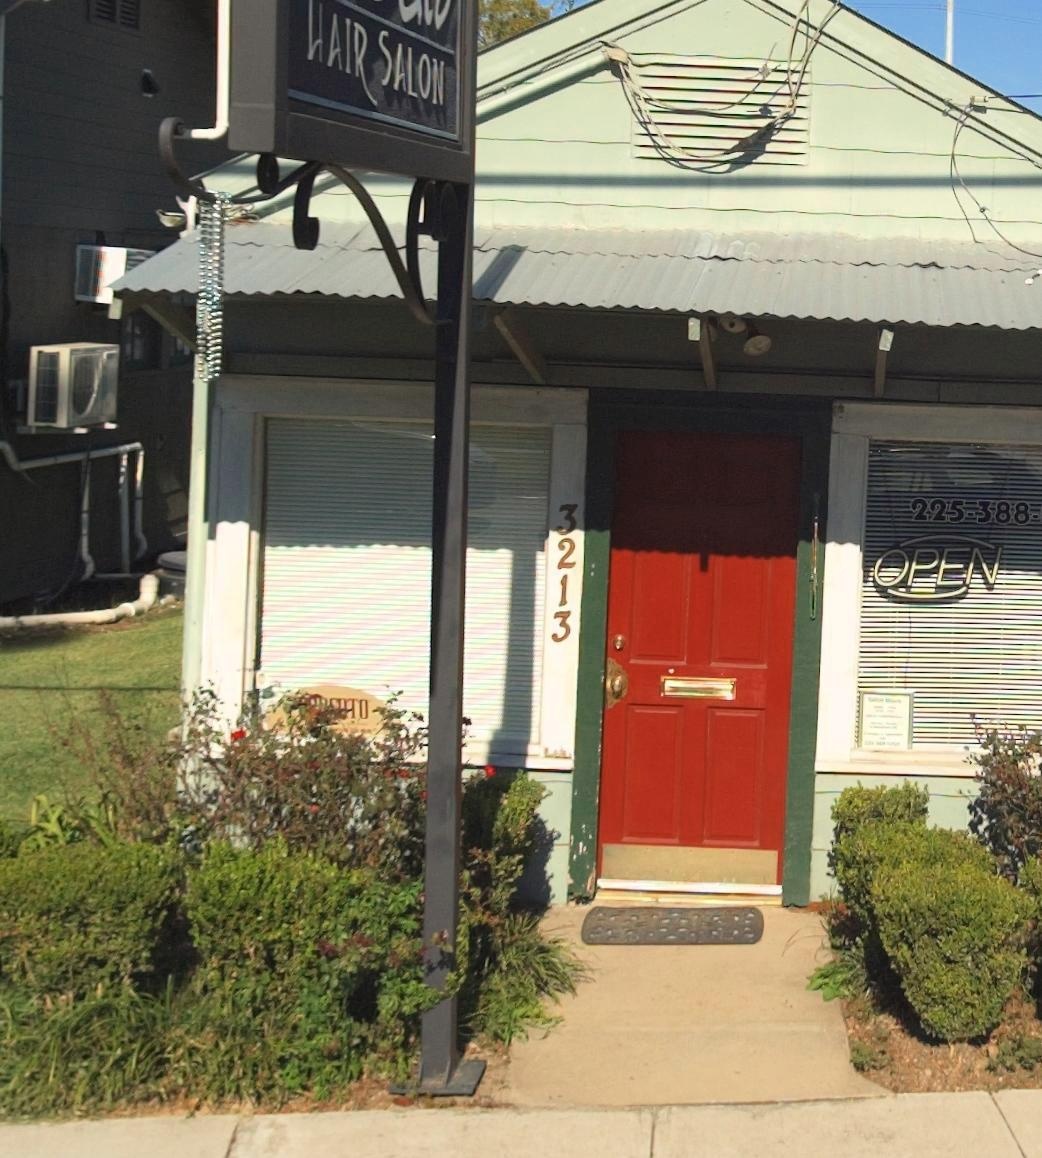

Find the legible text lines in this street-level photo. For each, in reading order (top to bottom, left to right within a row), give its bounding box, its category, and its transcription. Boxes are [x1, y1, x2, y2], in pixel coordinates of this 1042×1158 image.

[305, 1, 446, 107] None: HAIR SALON
[909, 495, 1033, 527] None: 225-388
[550, 499, 581, 644] StreetNumber: 3213
[871, 545, 1005, 589] None: OPEN